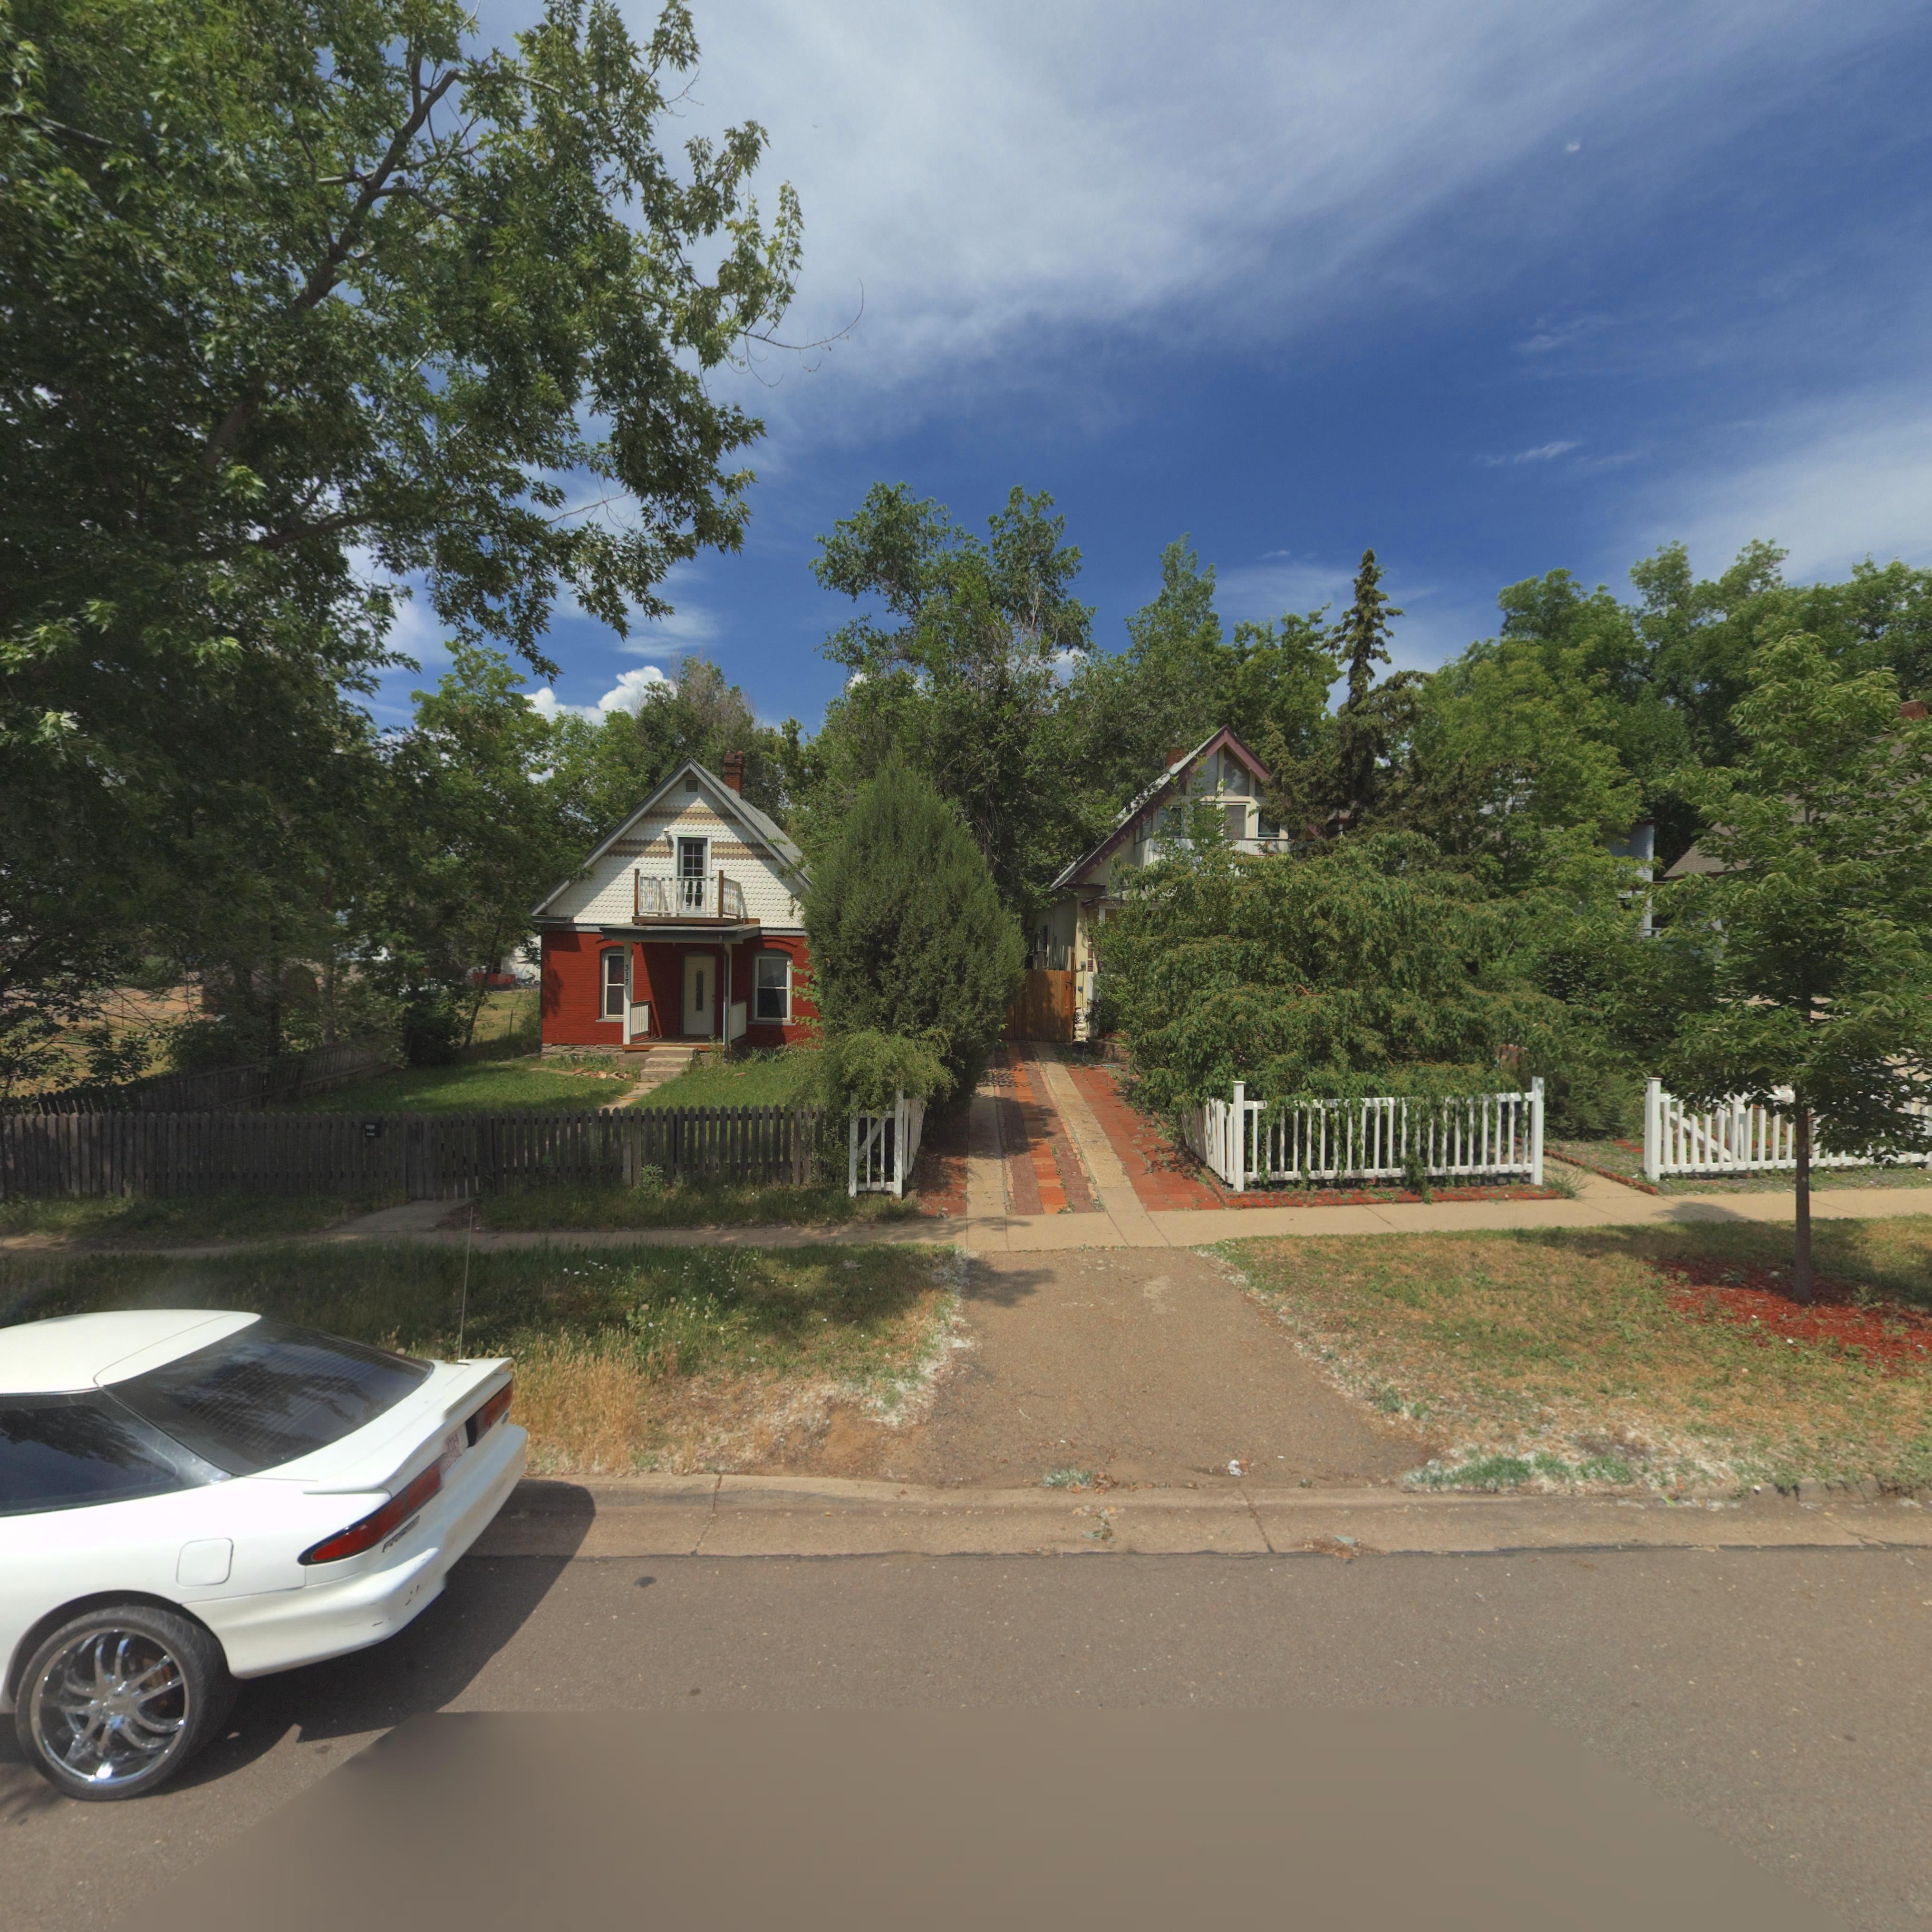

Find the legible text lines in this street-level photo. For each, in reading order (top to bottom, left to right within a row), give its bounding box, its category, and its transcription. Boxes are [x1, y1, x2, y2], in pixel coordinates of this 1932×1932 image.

[624, 964, 629, 985] StreetNumber: 317